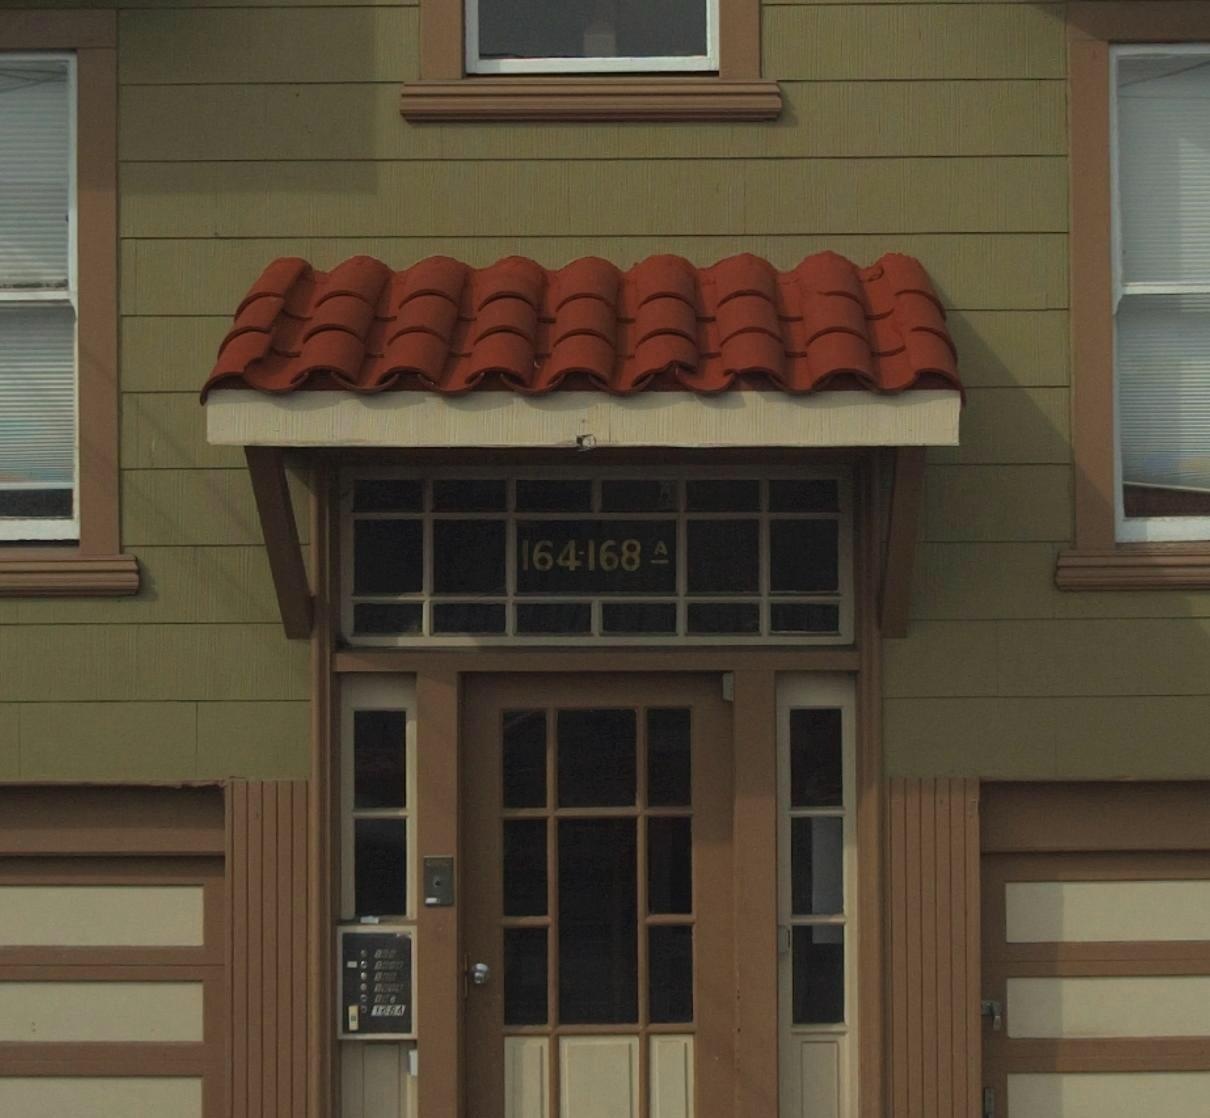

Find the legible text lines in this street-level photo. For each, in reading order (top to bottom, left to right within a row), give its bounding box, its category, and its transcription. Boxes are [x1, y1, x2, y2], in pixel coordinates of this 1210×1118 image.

[520, 538, 583, 573] StreetNumber: 164
[587, 537, 670, 573] StreetNumber: 168A